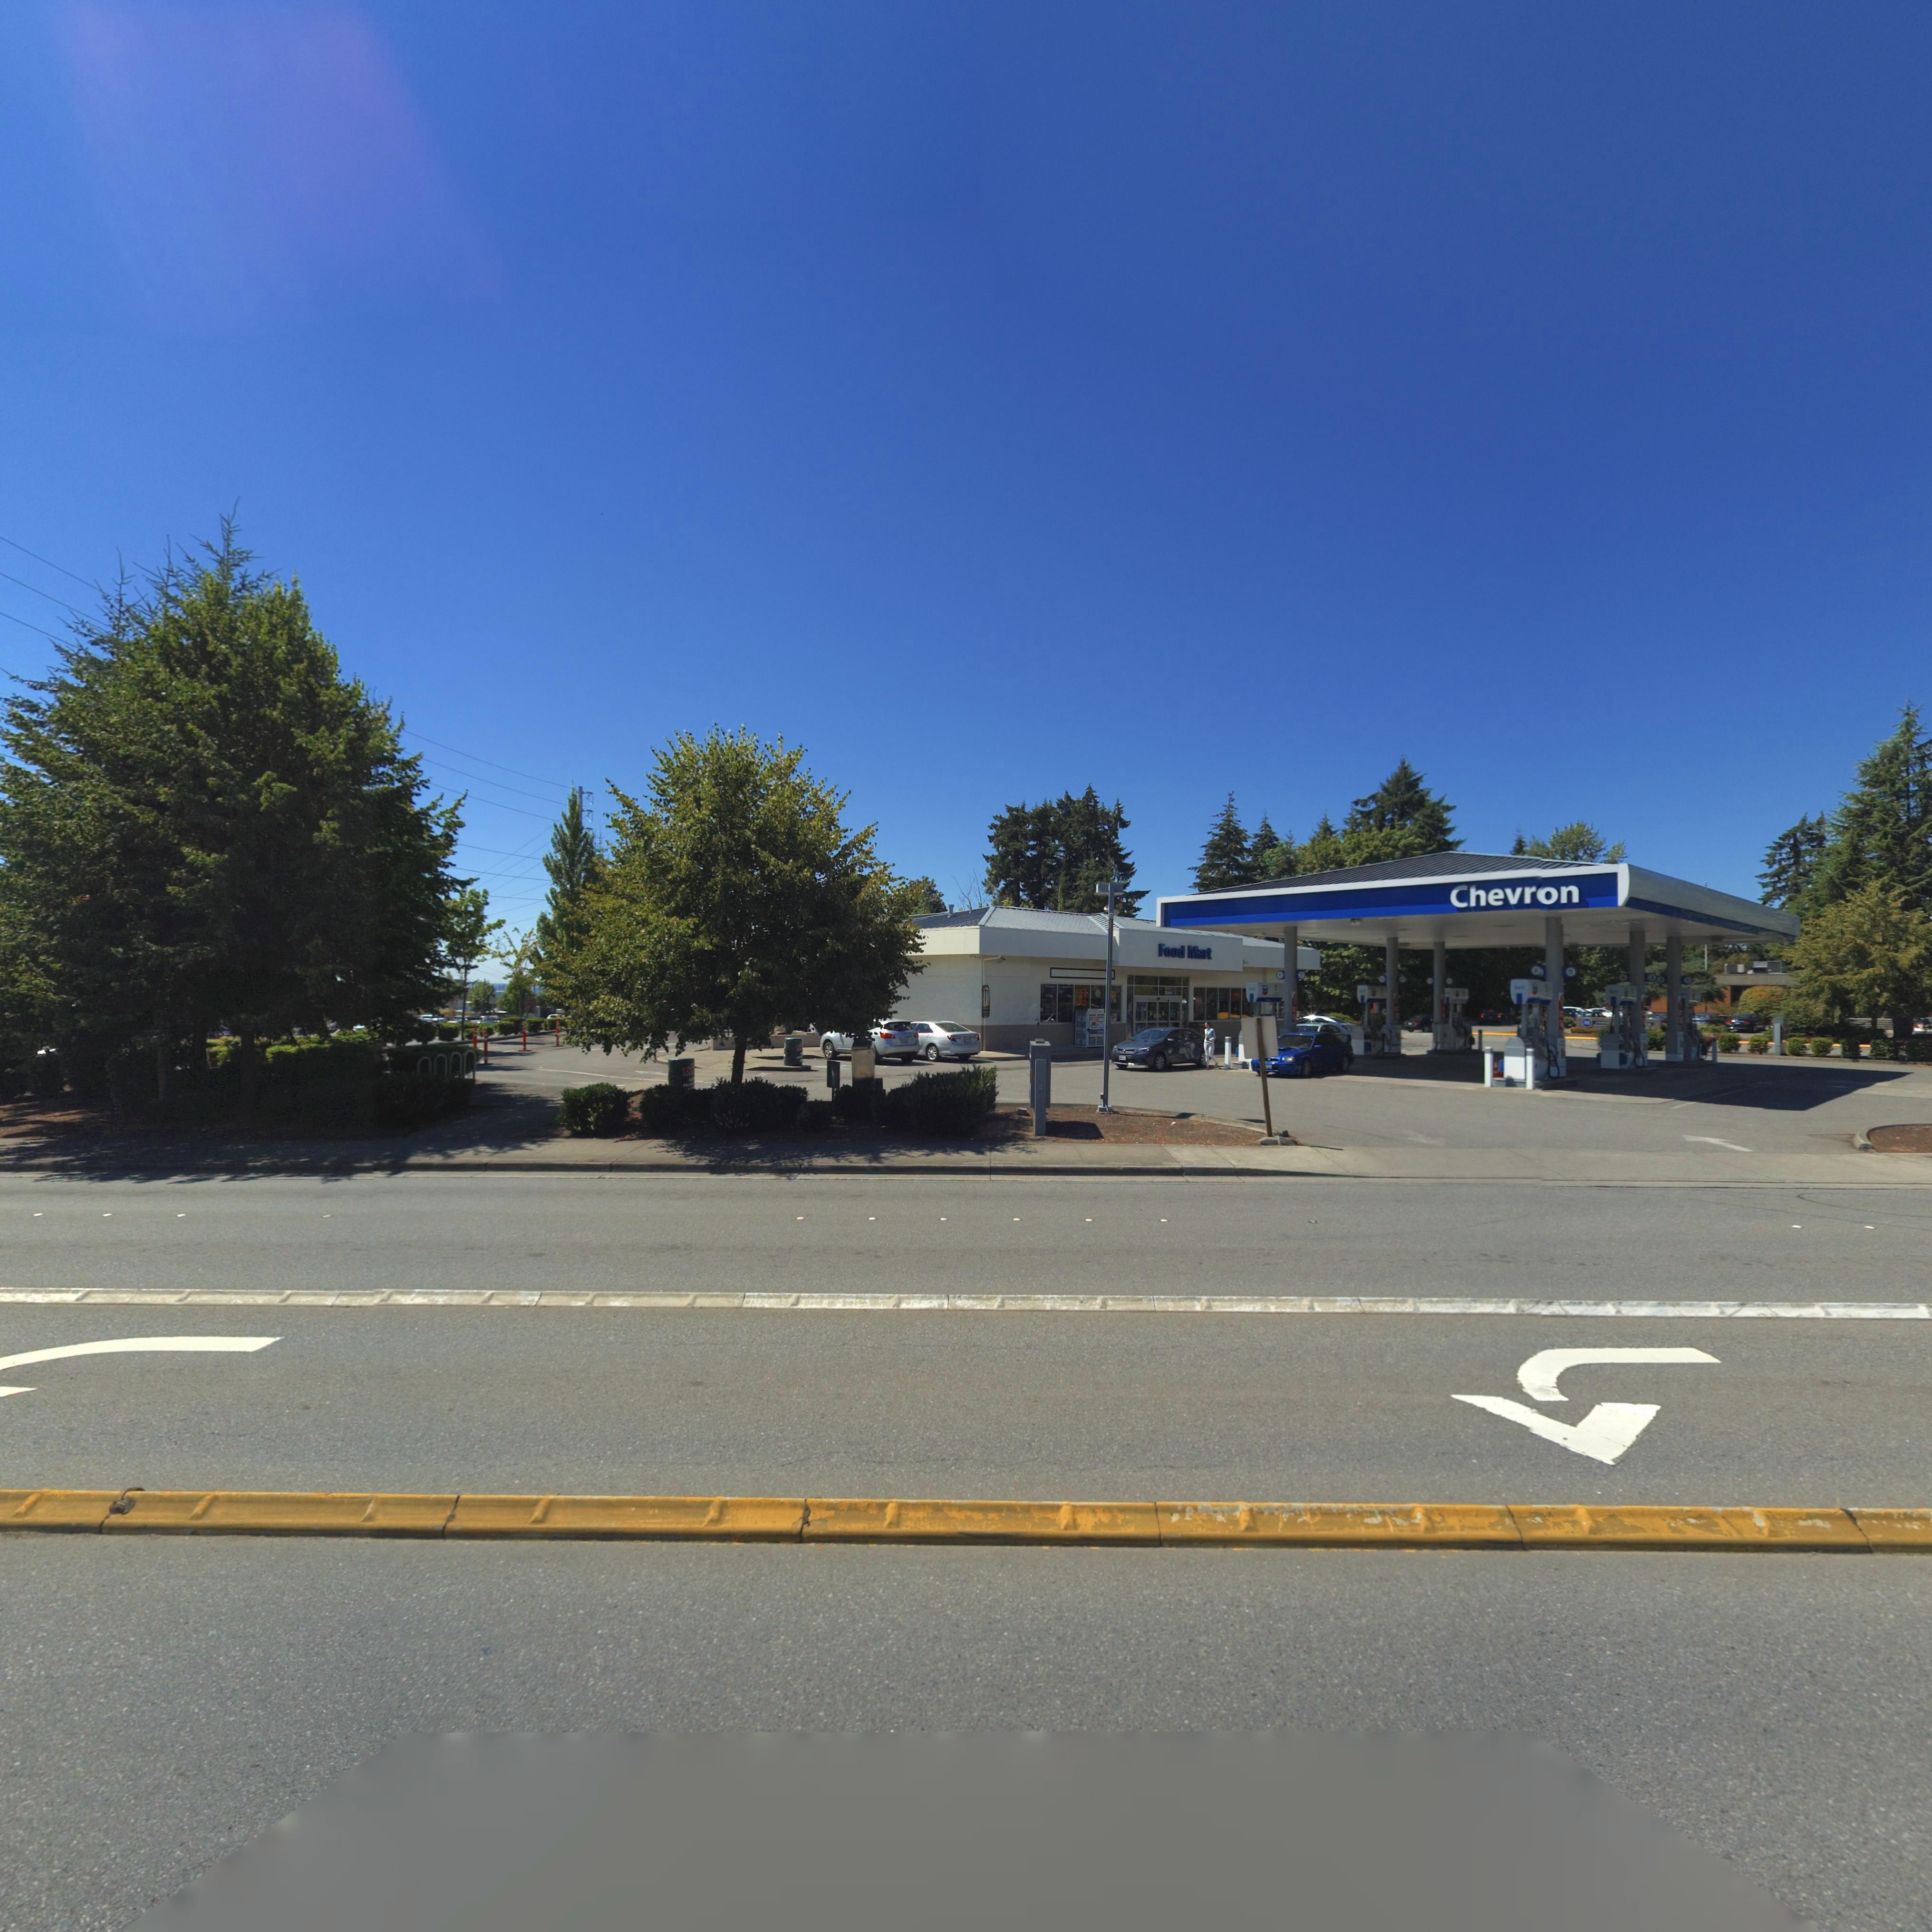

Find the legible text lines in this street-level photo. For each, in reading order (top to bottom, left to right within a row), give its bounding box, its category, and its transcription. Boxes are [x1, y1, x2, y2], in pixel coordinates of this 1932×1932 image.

[1449, 884, 1580, 908] BusinessName: Chevron
[1164, 991, 1173, 995] StreetNumber: 2444